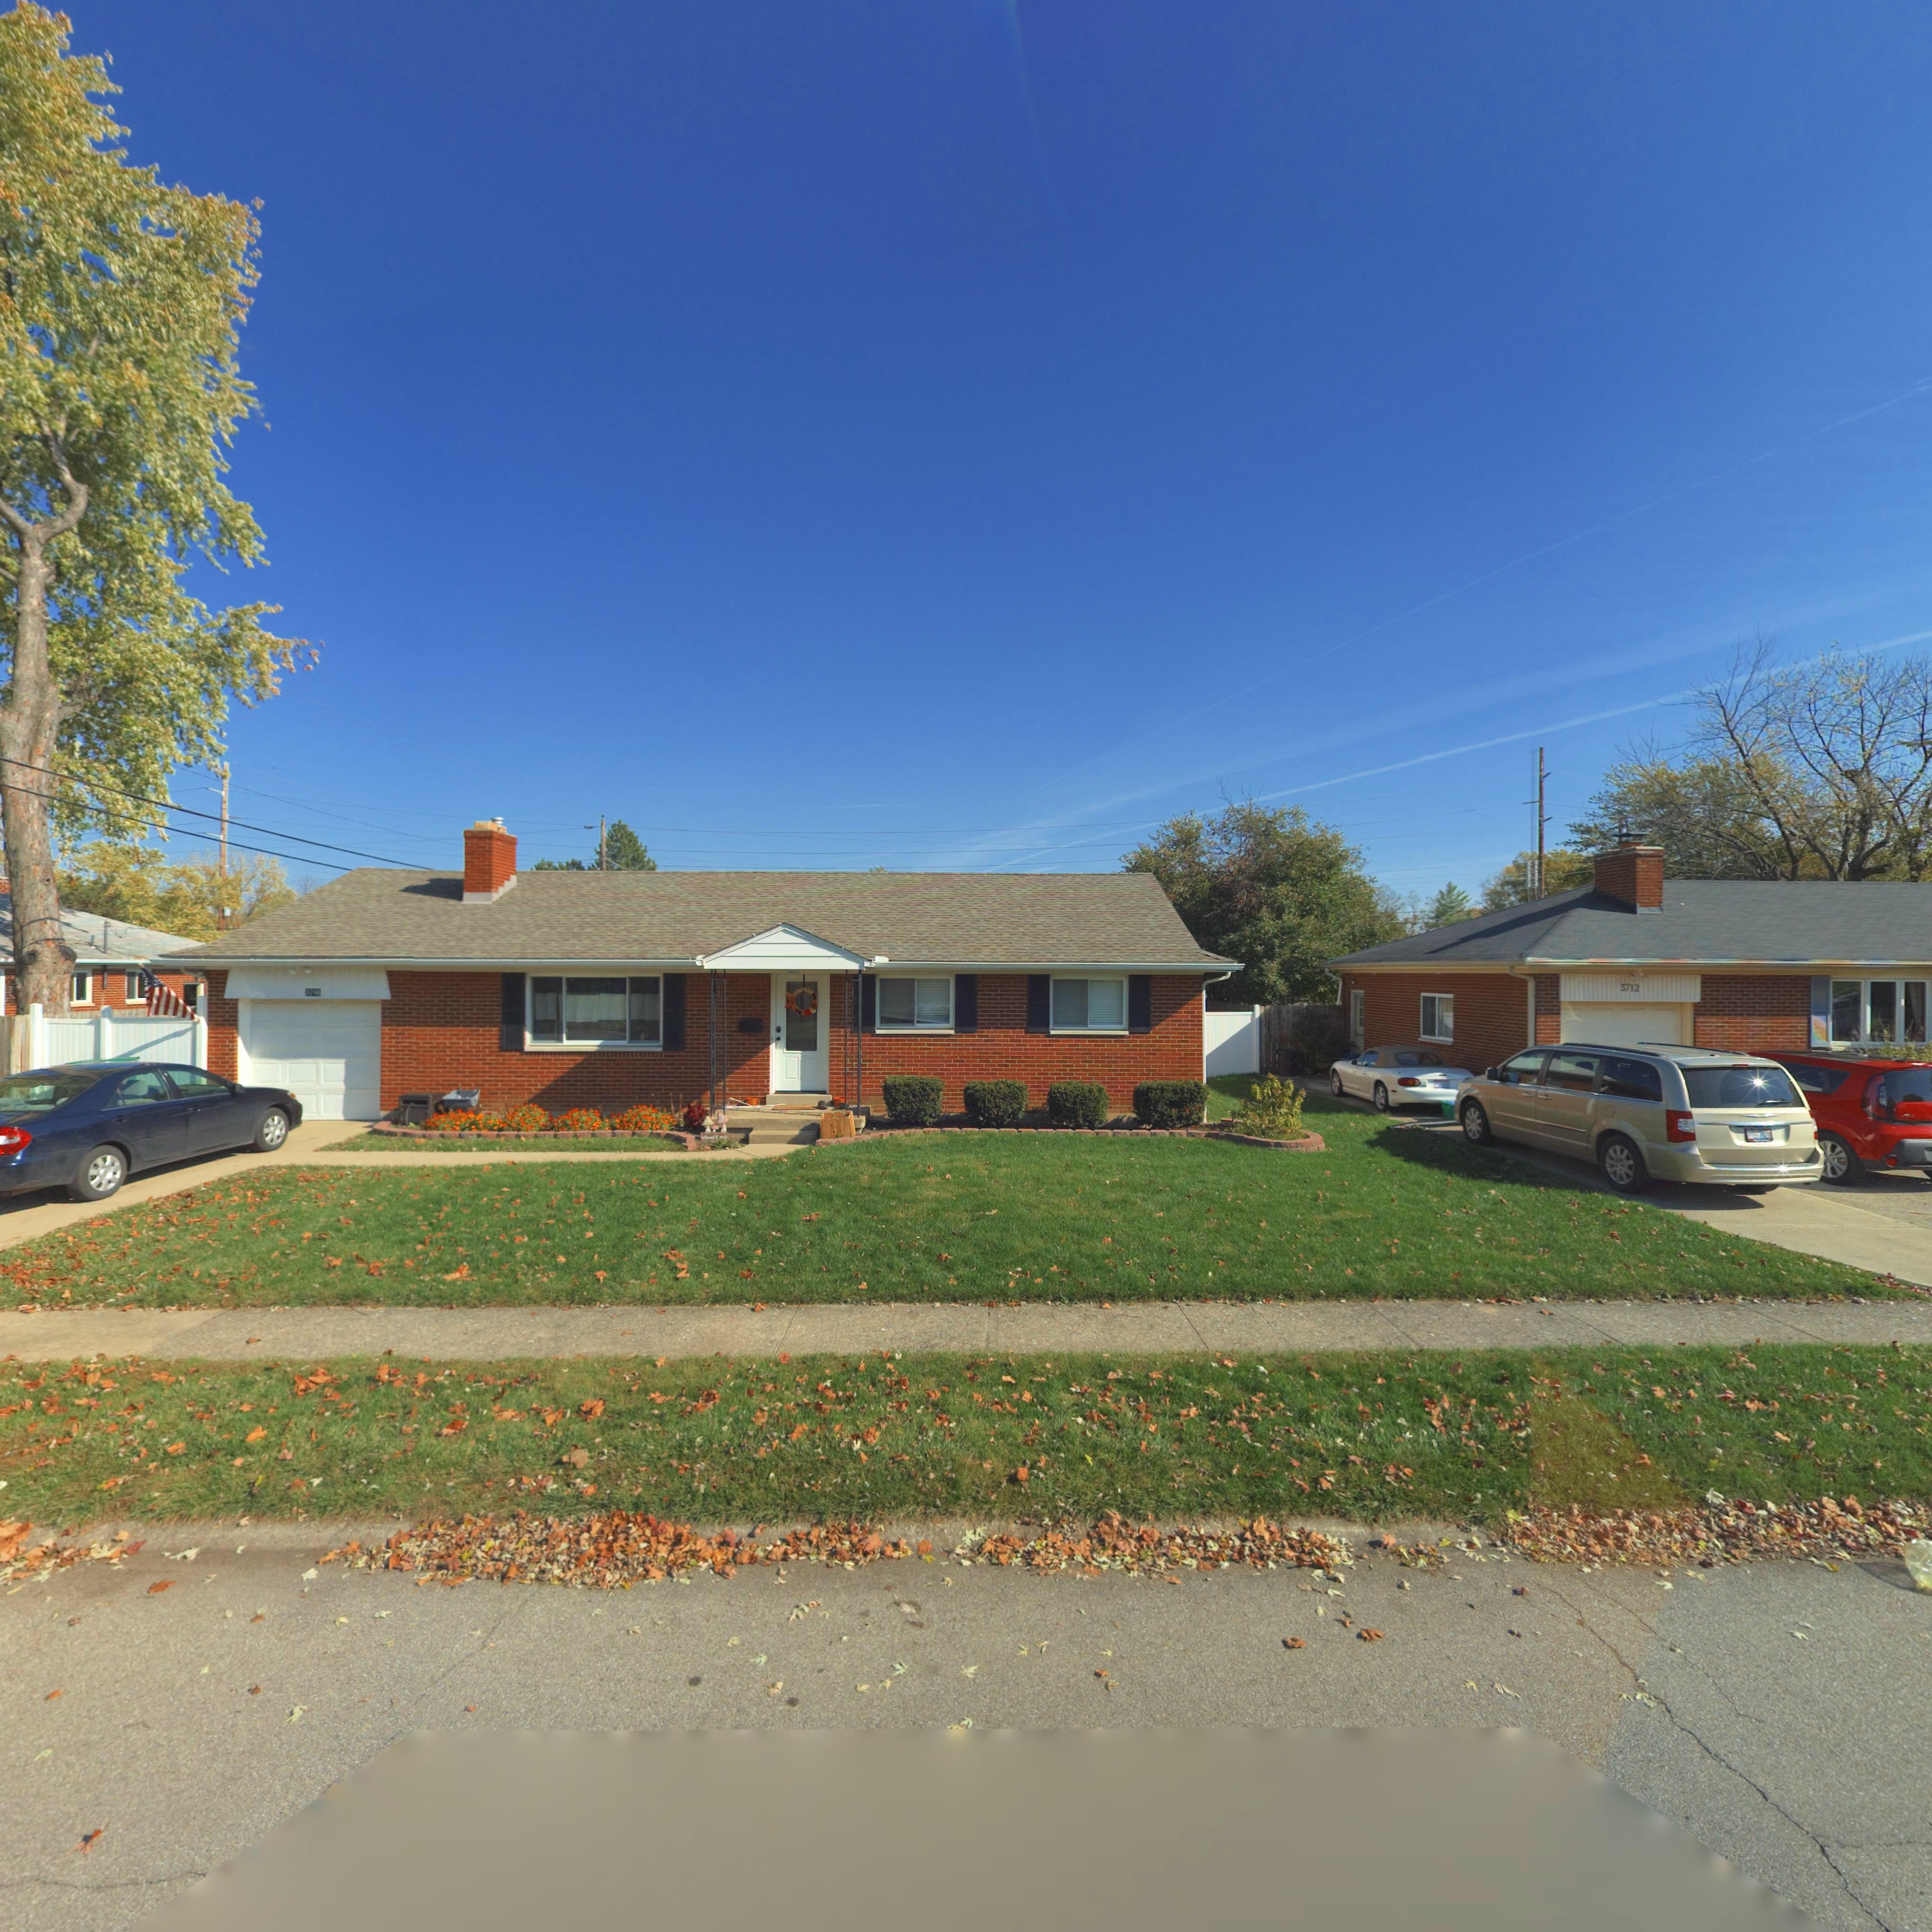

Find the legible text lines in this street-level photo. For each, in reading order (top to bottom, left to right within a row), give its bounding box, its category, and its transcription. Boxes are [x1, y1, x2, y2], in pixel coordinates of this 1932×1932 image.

[305, 988, 321, 996] StreetNumber: *70*
[1619, 982, 1641, 993] StreetNumber: 3712